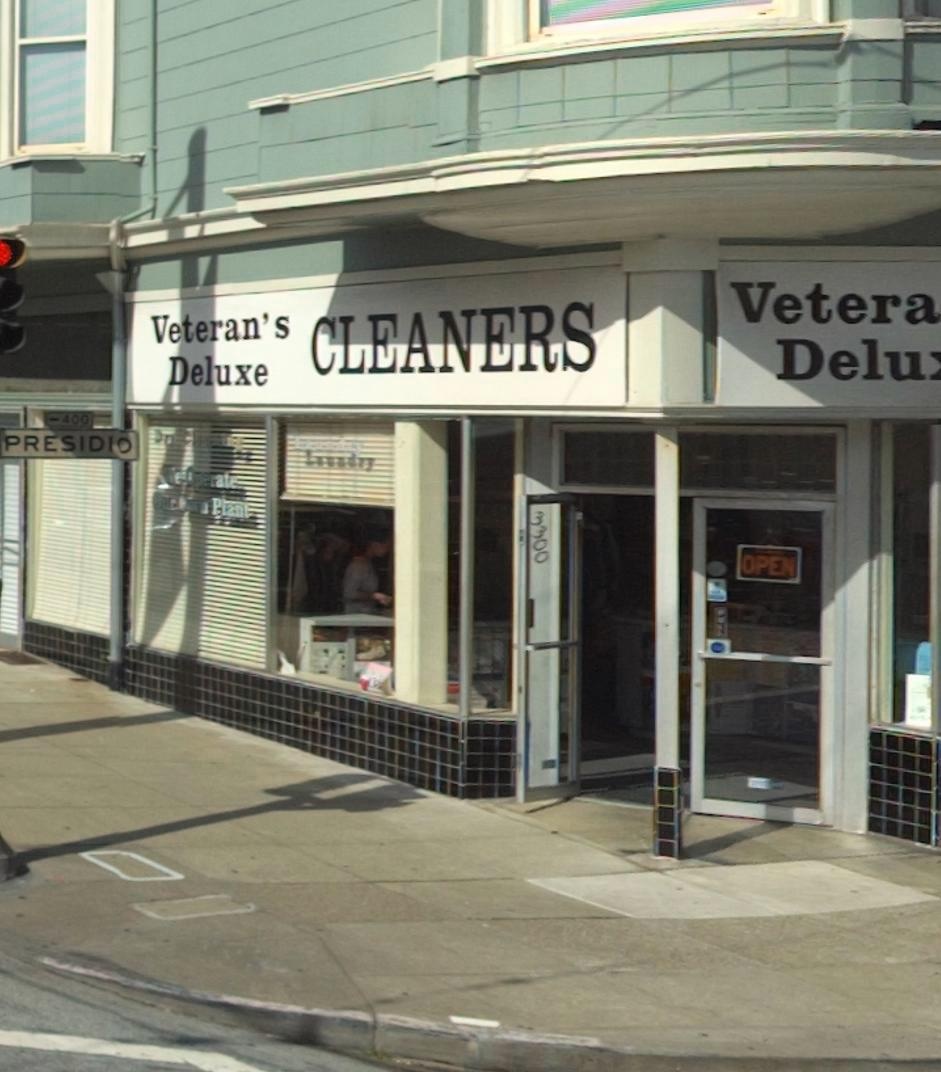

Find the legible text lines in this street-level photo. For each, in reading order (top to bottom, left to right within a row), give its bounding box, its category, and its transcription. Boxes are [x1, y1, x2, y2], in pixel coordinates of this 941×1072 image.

[724, 279, 940, 327] BusinessName: Vetera
[147, 308, 293, 348] BusinessName: Veteran's
[308, 296, 601, 379] BusinessName: CLEANERS
[166, 353, 270, 388] BusinessName: Deluxe
[773, 333, 930, 384] BusinessName: Delu
[46, 412, 91, 428] StreetNumberRange: <-400
[3, 432, 135, 456] StreetName: PRESIDI*
[302, 444, 380, 475] None: L***dry
[210, 495, 253, 521] None: Plant
[527, 508, 552, 567] StreetNumber: 3300
[738, 552, 798, 579] None: OPEN